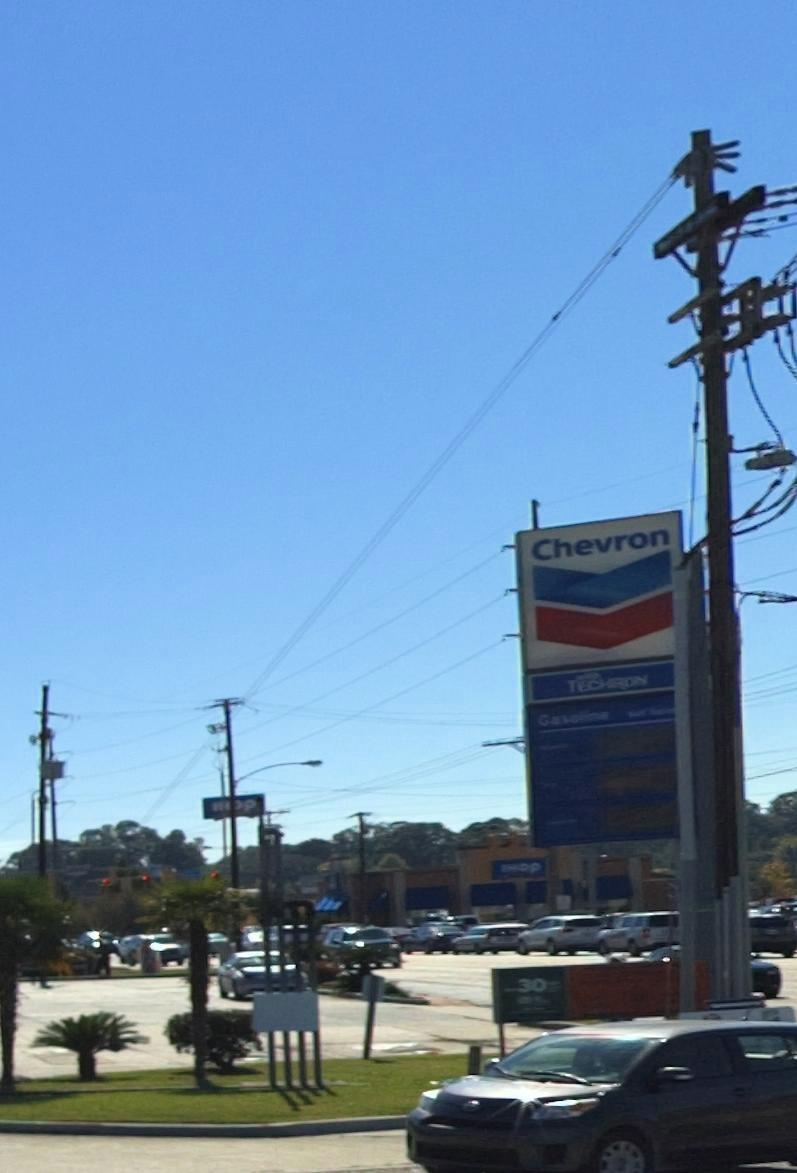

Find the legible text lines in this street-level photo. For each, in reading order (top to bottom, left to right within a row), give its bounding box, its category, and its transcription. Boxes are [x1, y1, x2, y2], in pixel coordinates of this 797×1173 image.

[530, 527, 671, 562] BusinessName: Chevron
[564, 673, 651, 694] None: TECHRON
[536, 708, 611, 728] None: Gasoline
[210, 798, 258, 814] BusinessName: IH*P
[499, 861, 543, 875] BusinessName: IHOP
[516, 976, 548, 994] None: 30